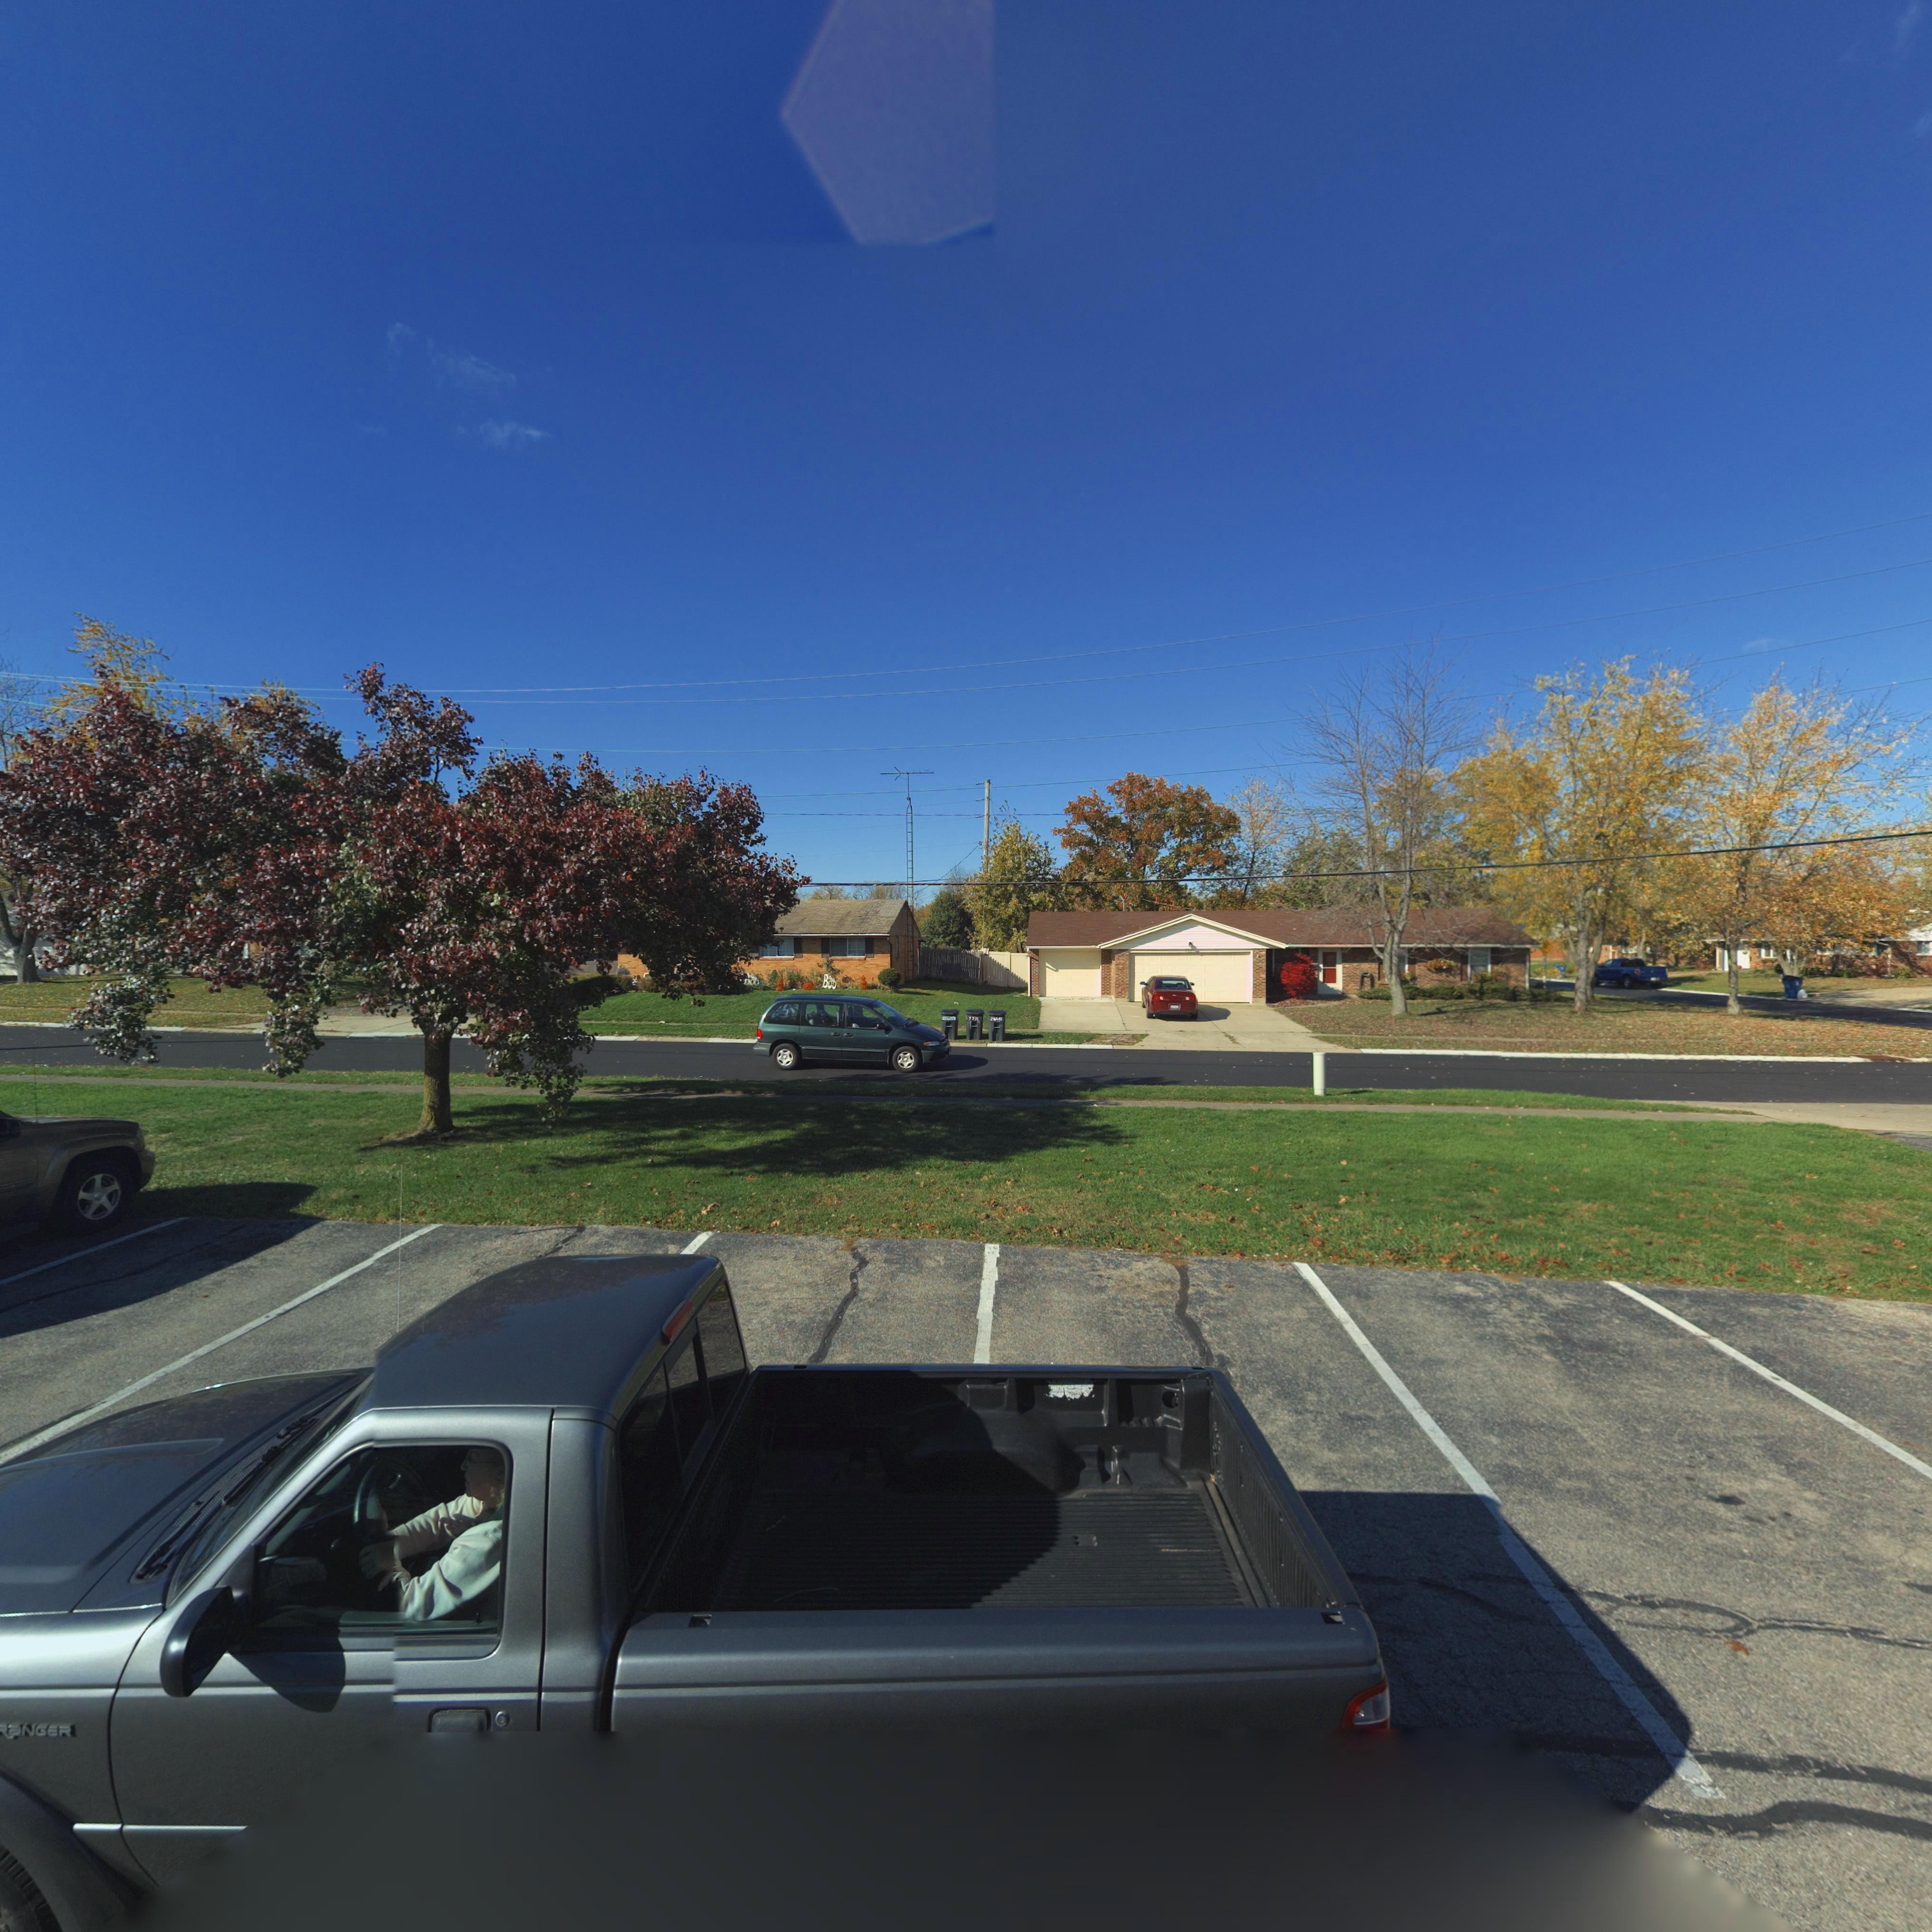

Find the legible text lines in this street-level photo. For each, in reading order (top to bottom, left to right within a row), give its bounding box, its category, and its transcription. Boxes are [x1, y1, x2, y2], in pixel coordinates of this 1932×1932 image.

[1184, 949, 1195, 953] StreetNumber: 7531
[968, 1016, 979, 1021] StreetNumber: 7531
[990, 1016, 994, 1022] StreetNumber: 7